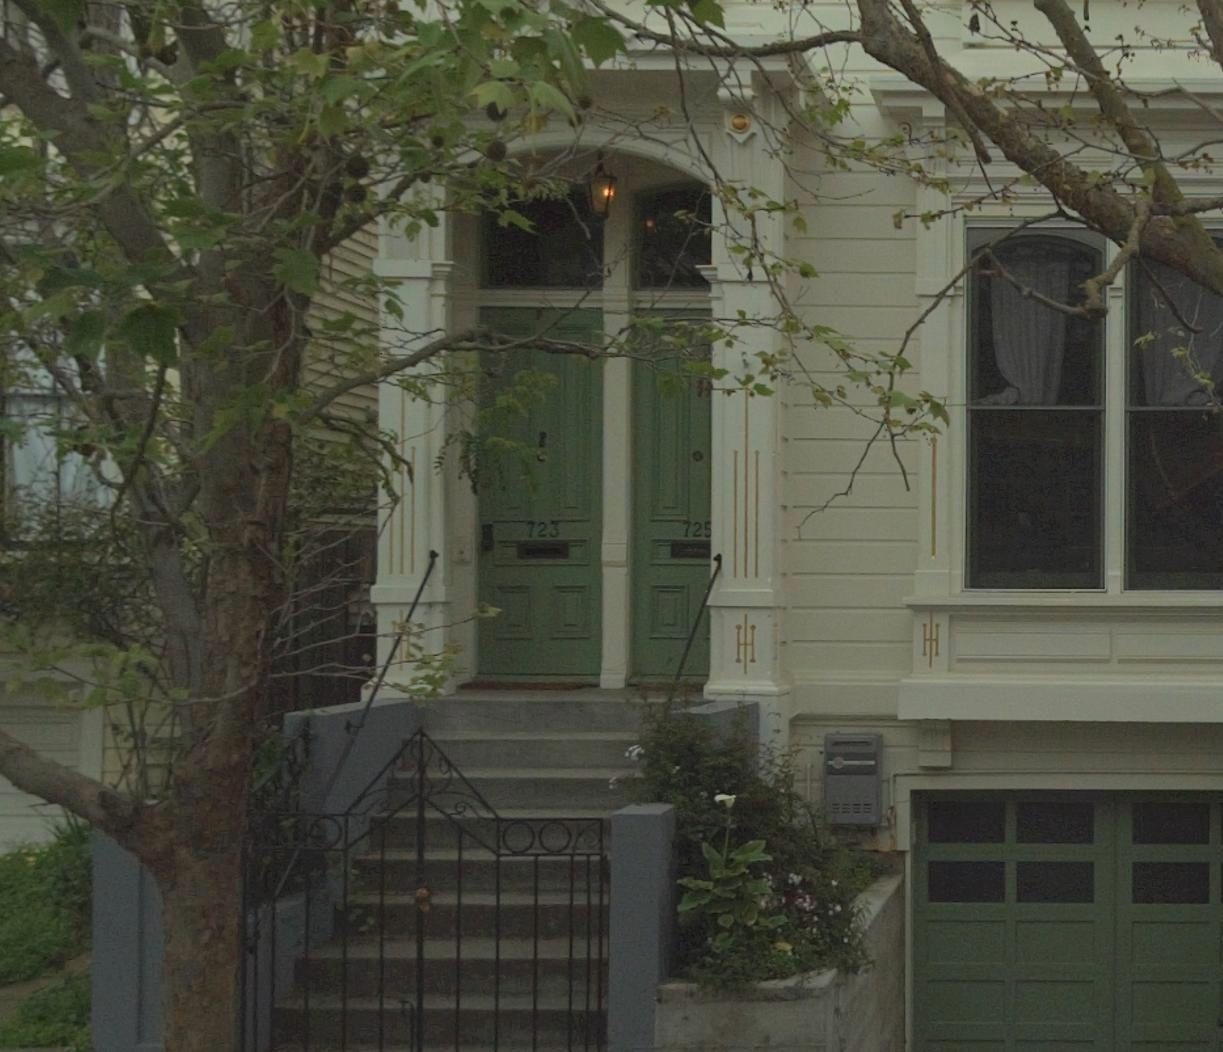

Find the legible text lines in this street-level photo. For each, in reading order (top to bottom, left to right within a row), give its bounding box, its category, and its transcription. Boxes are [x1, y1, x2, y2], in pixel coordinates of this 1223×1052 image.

[525, 520, 562, 539] StreetNumber: 723
[680, 517, 713, 541] StreetNumber: 725